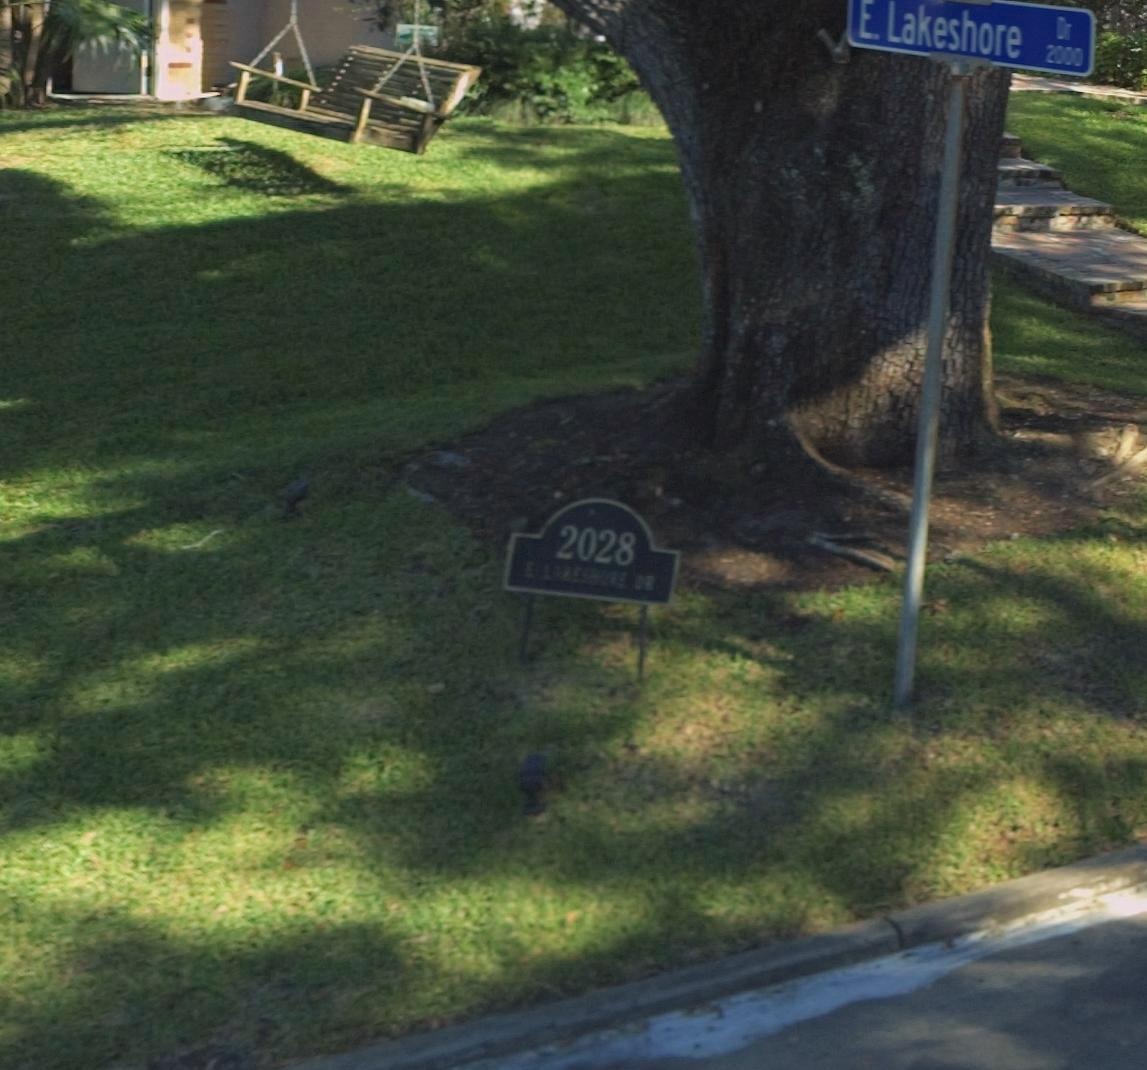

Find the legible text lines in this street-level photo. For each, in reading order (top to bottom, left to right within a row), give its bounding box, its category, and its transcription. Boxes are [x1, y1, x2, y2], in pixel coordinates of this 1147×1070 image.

[855, 0, 1078, 65] StreetName: Lakeshore Dr
[1042, 39, 1091, 72] StreetNumberRange: 2000
[552, 519, 641, 571] StreetNumber: 2028
[643, 572, 658, 594] None: R